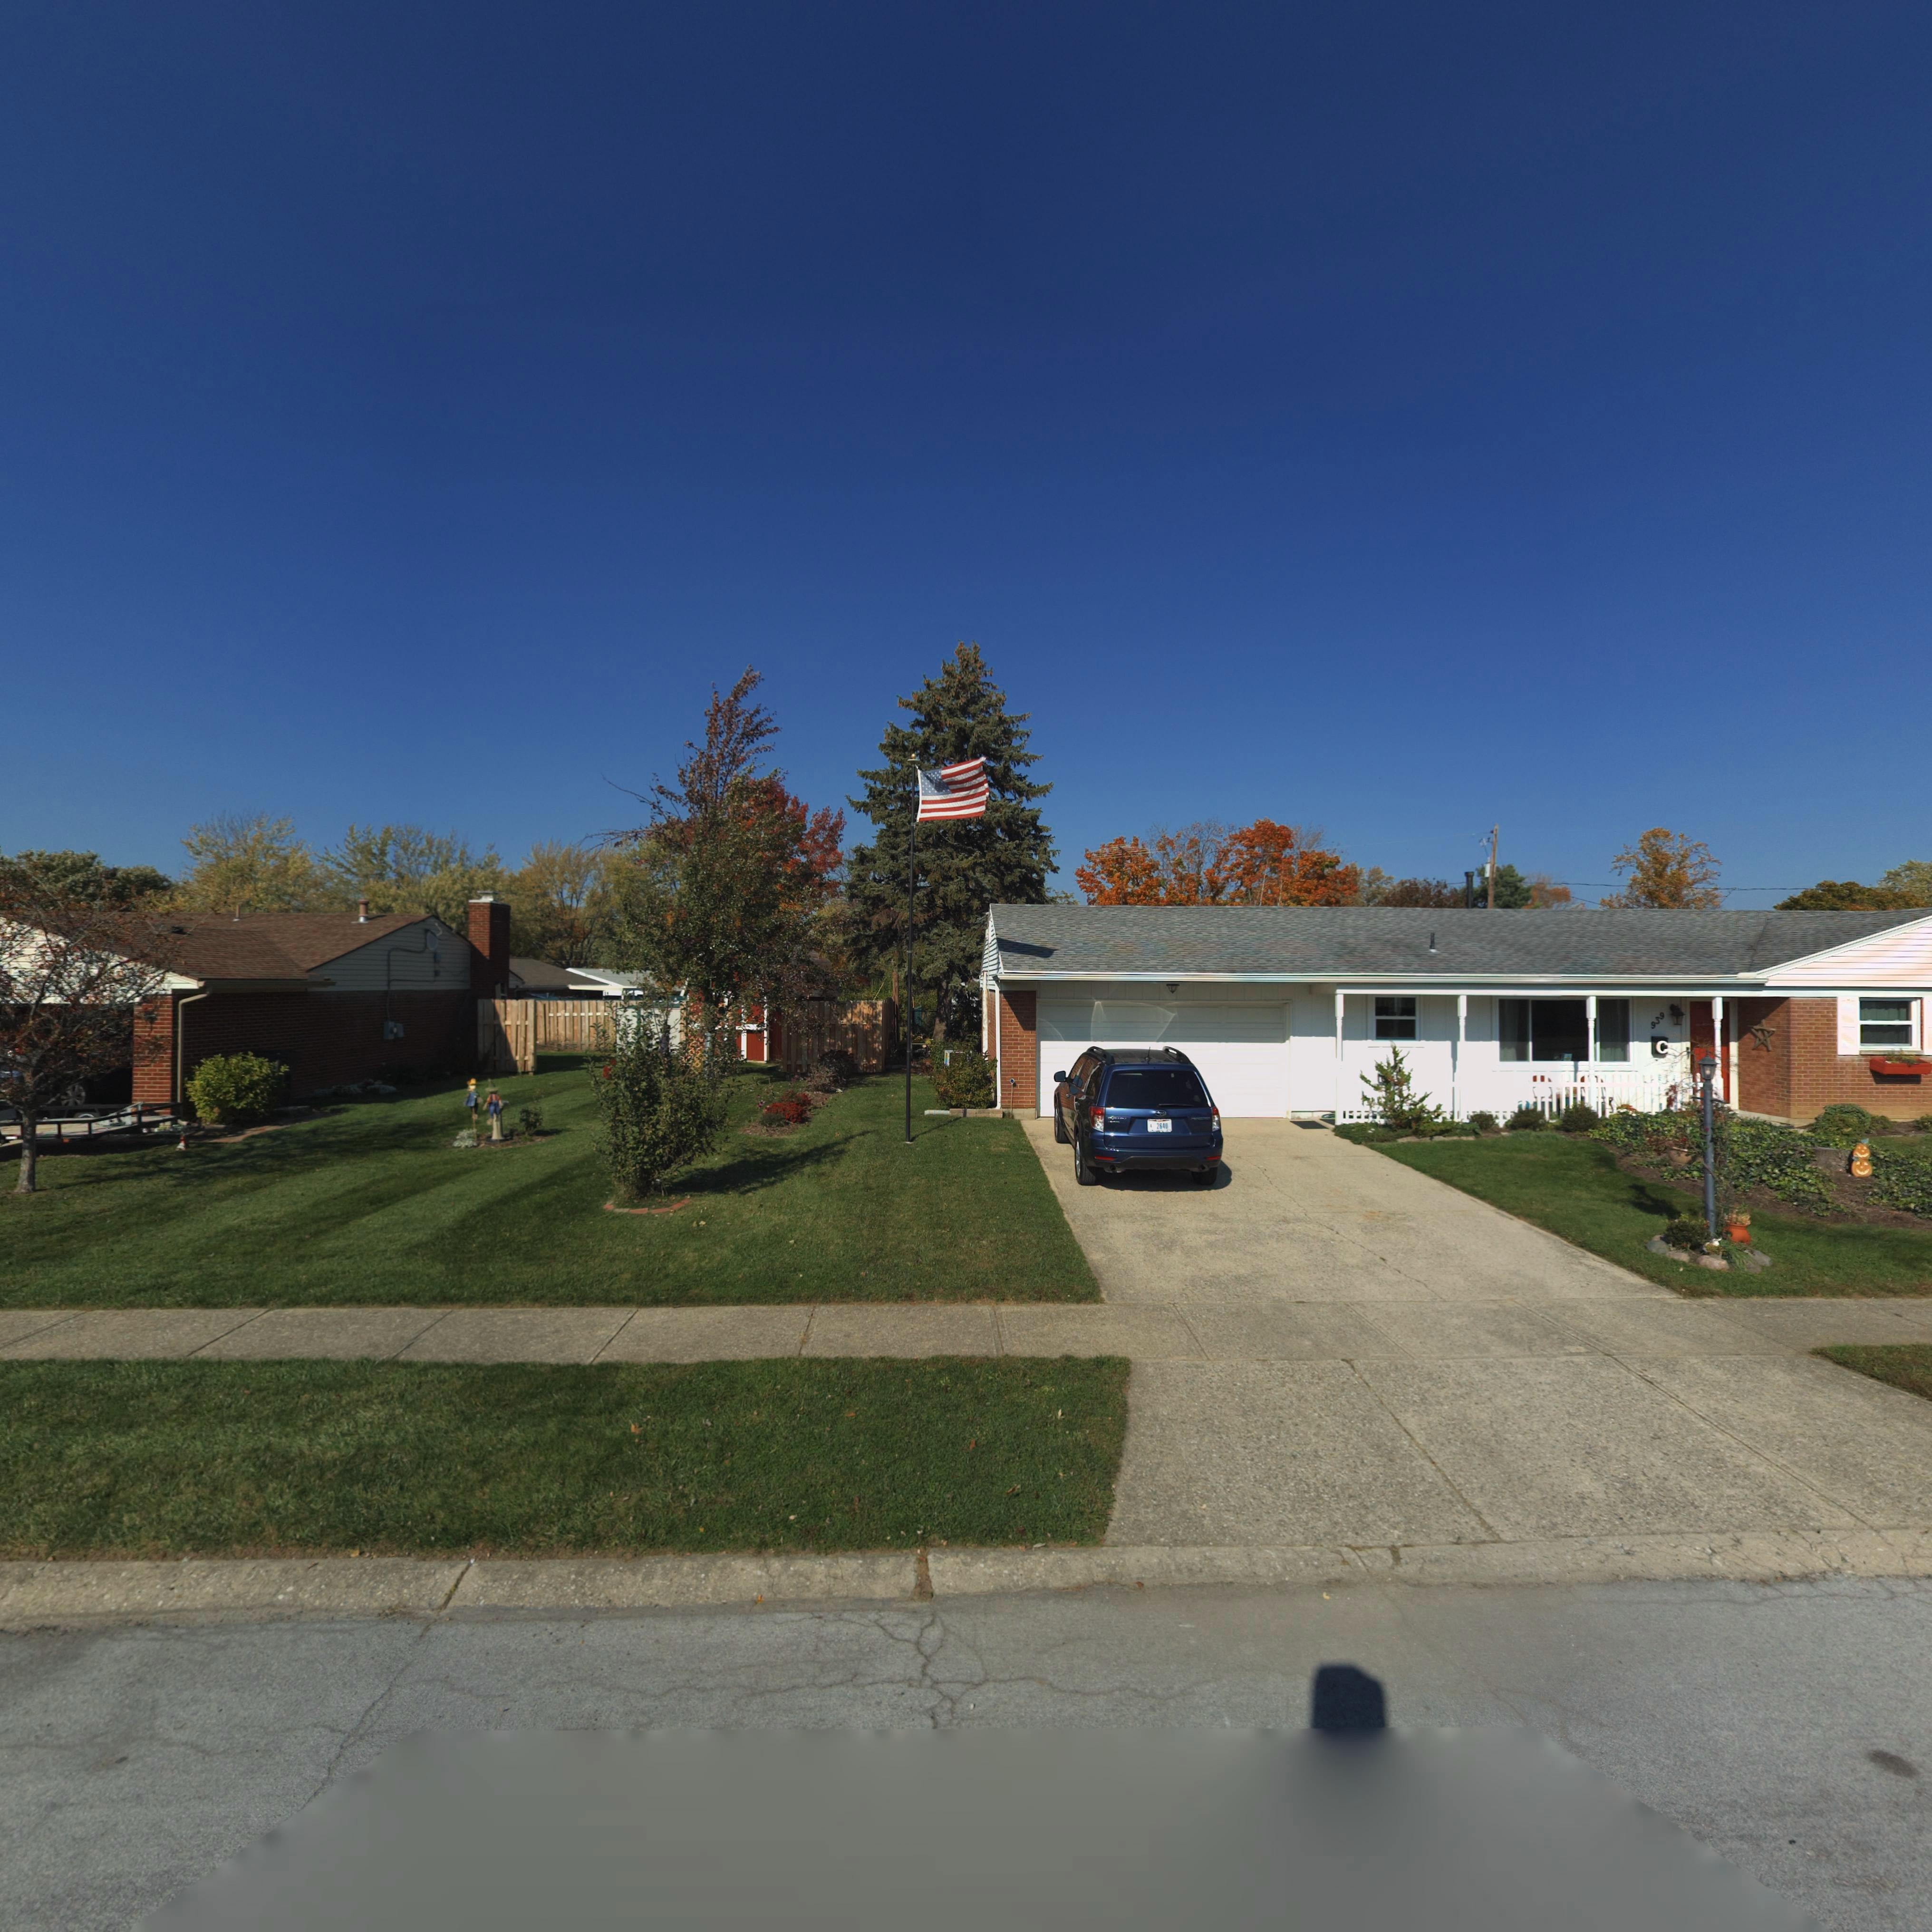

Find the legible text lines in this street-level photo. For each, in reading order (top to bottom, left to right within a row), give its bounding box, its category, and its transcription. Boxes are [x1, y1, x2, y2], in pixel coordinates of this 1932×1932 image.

[1650, 1011, 1666, 1030] StreetNumber: 939
[1156, 1122, 1169, 1130] None: 2640